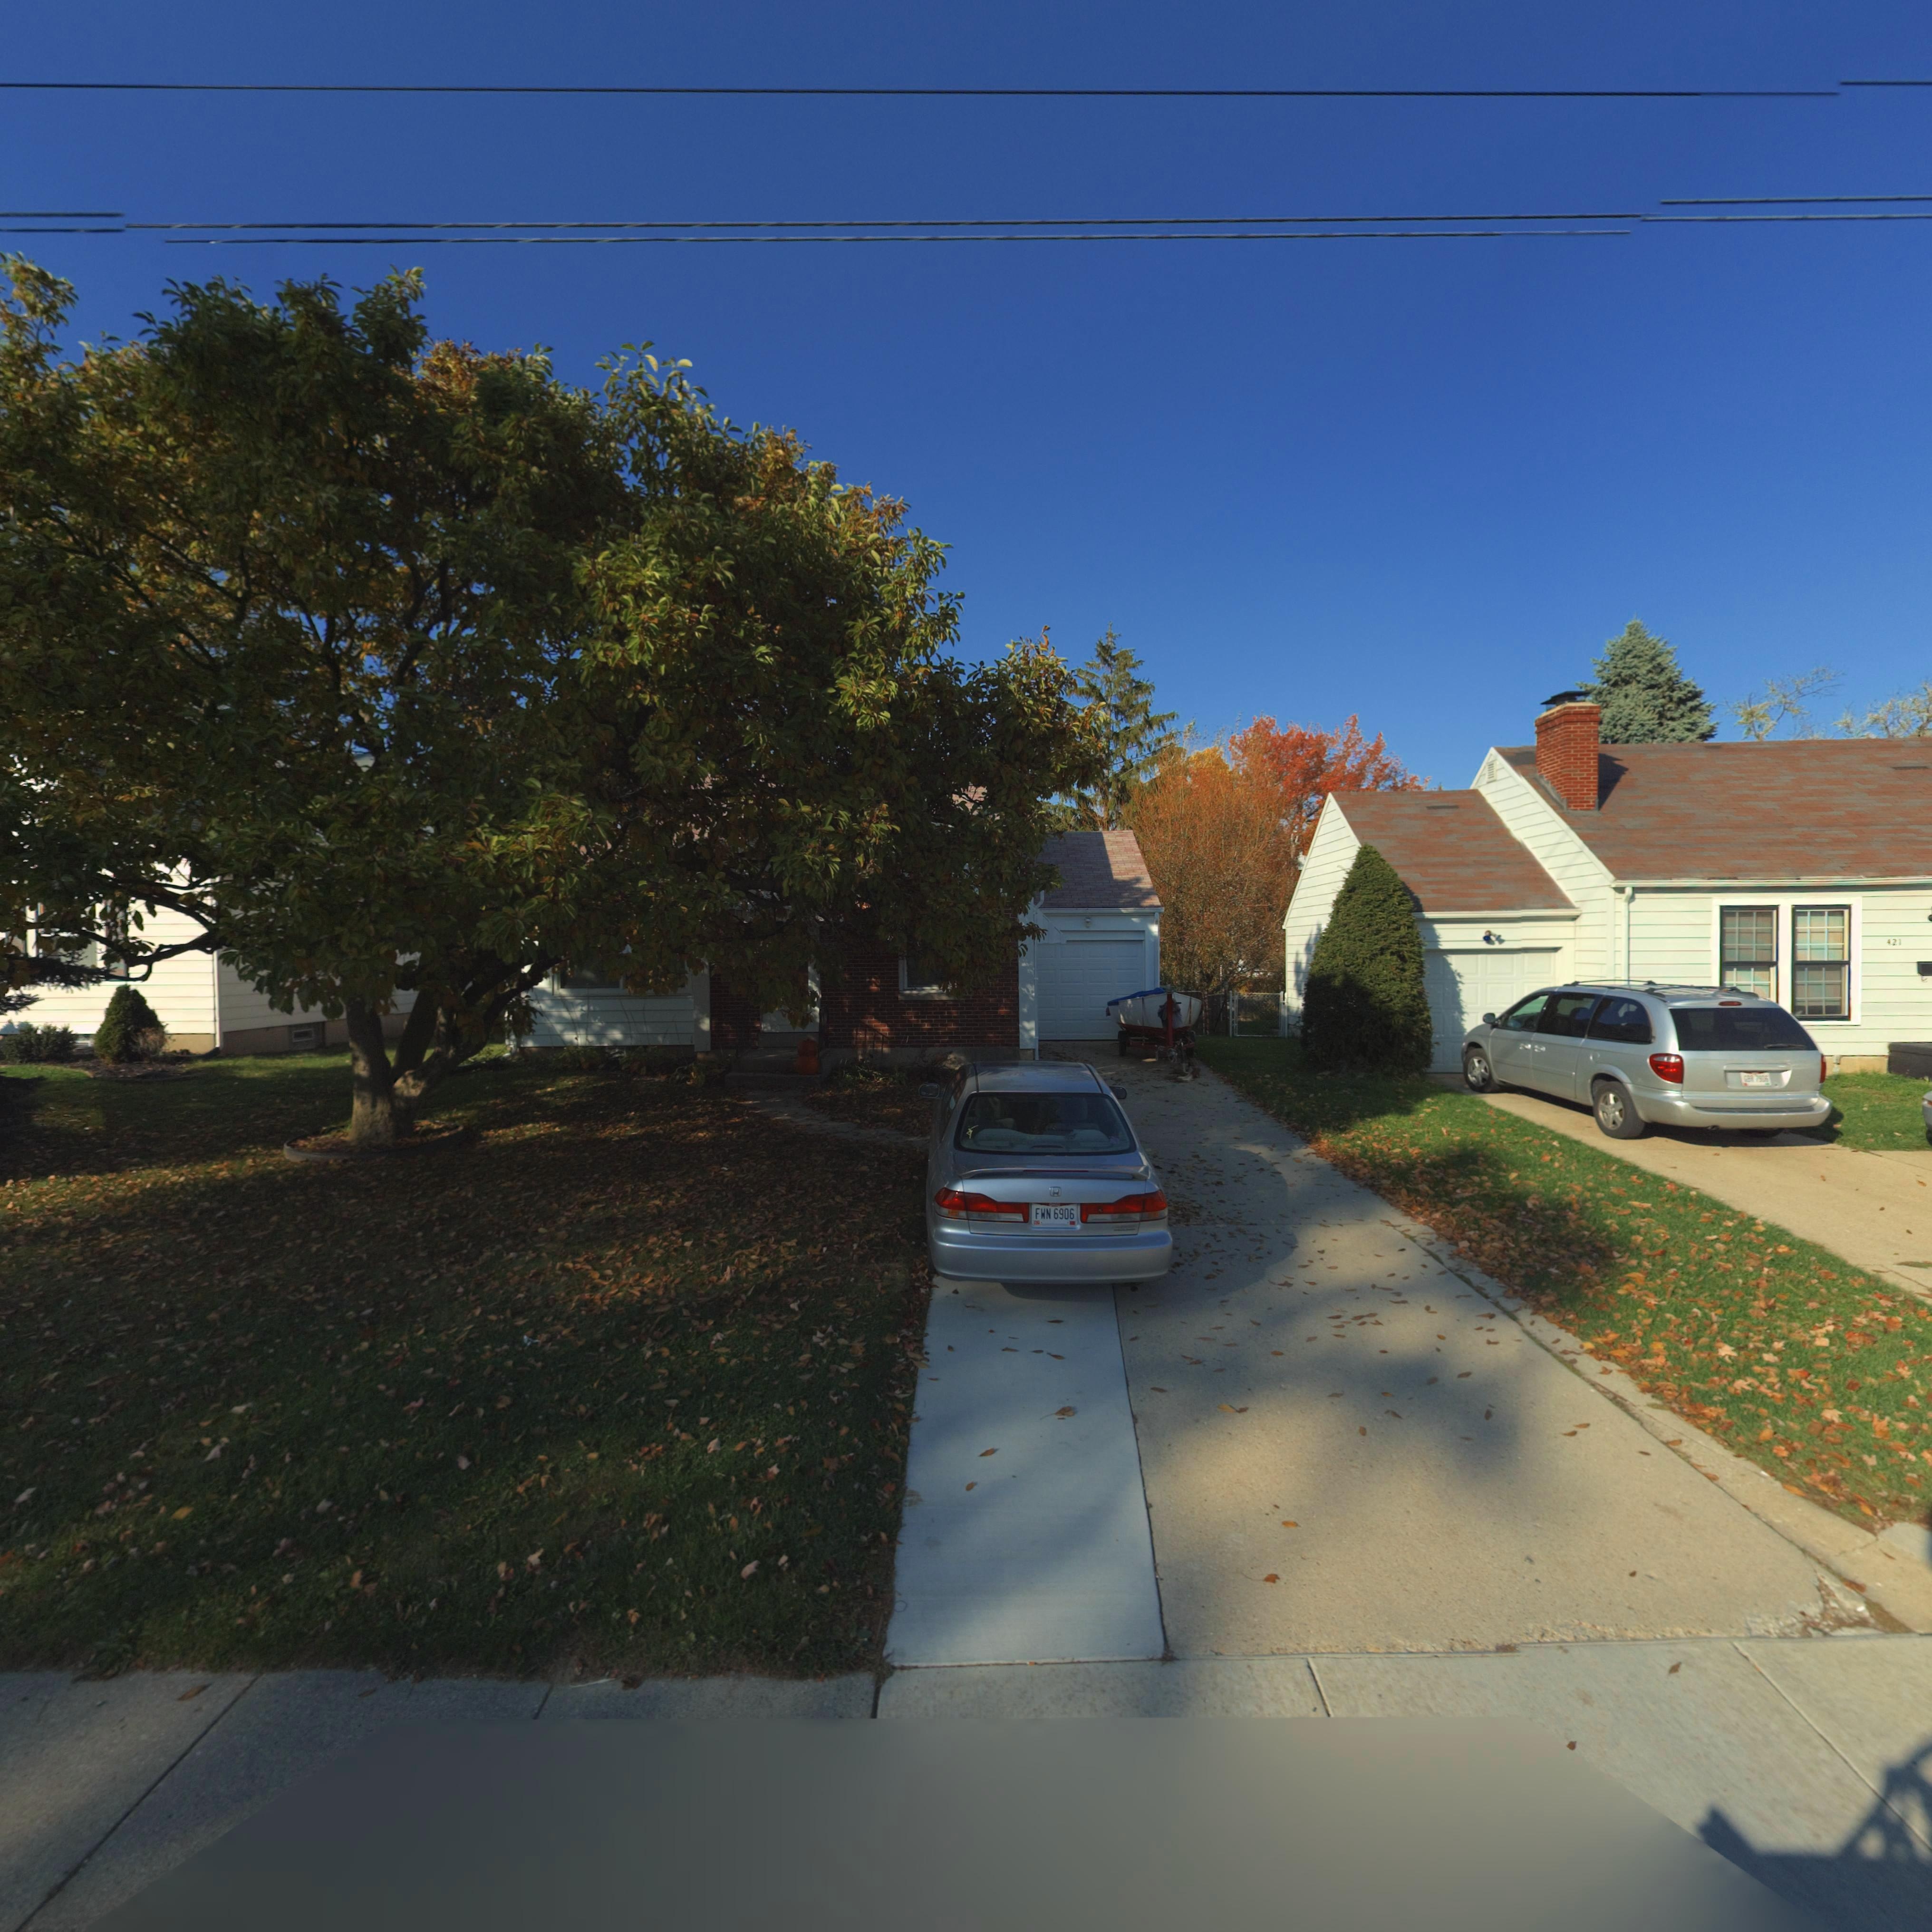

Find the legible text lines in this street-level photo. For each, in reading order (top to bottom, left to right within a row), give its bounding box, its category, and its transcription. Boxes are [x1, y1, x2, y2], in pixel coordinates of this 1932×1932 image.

[1886, 938, 1902, 946] StreetNumber: 421